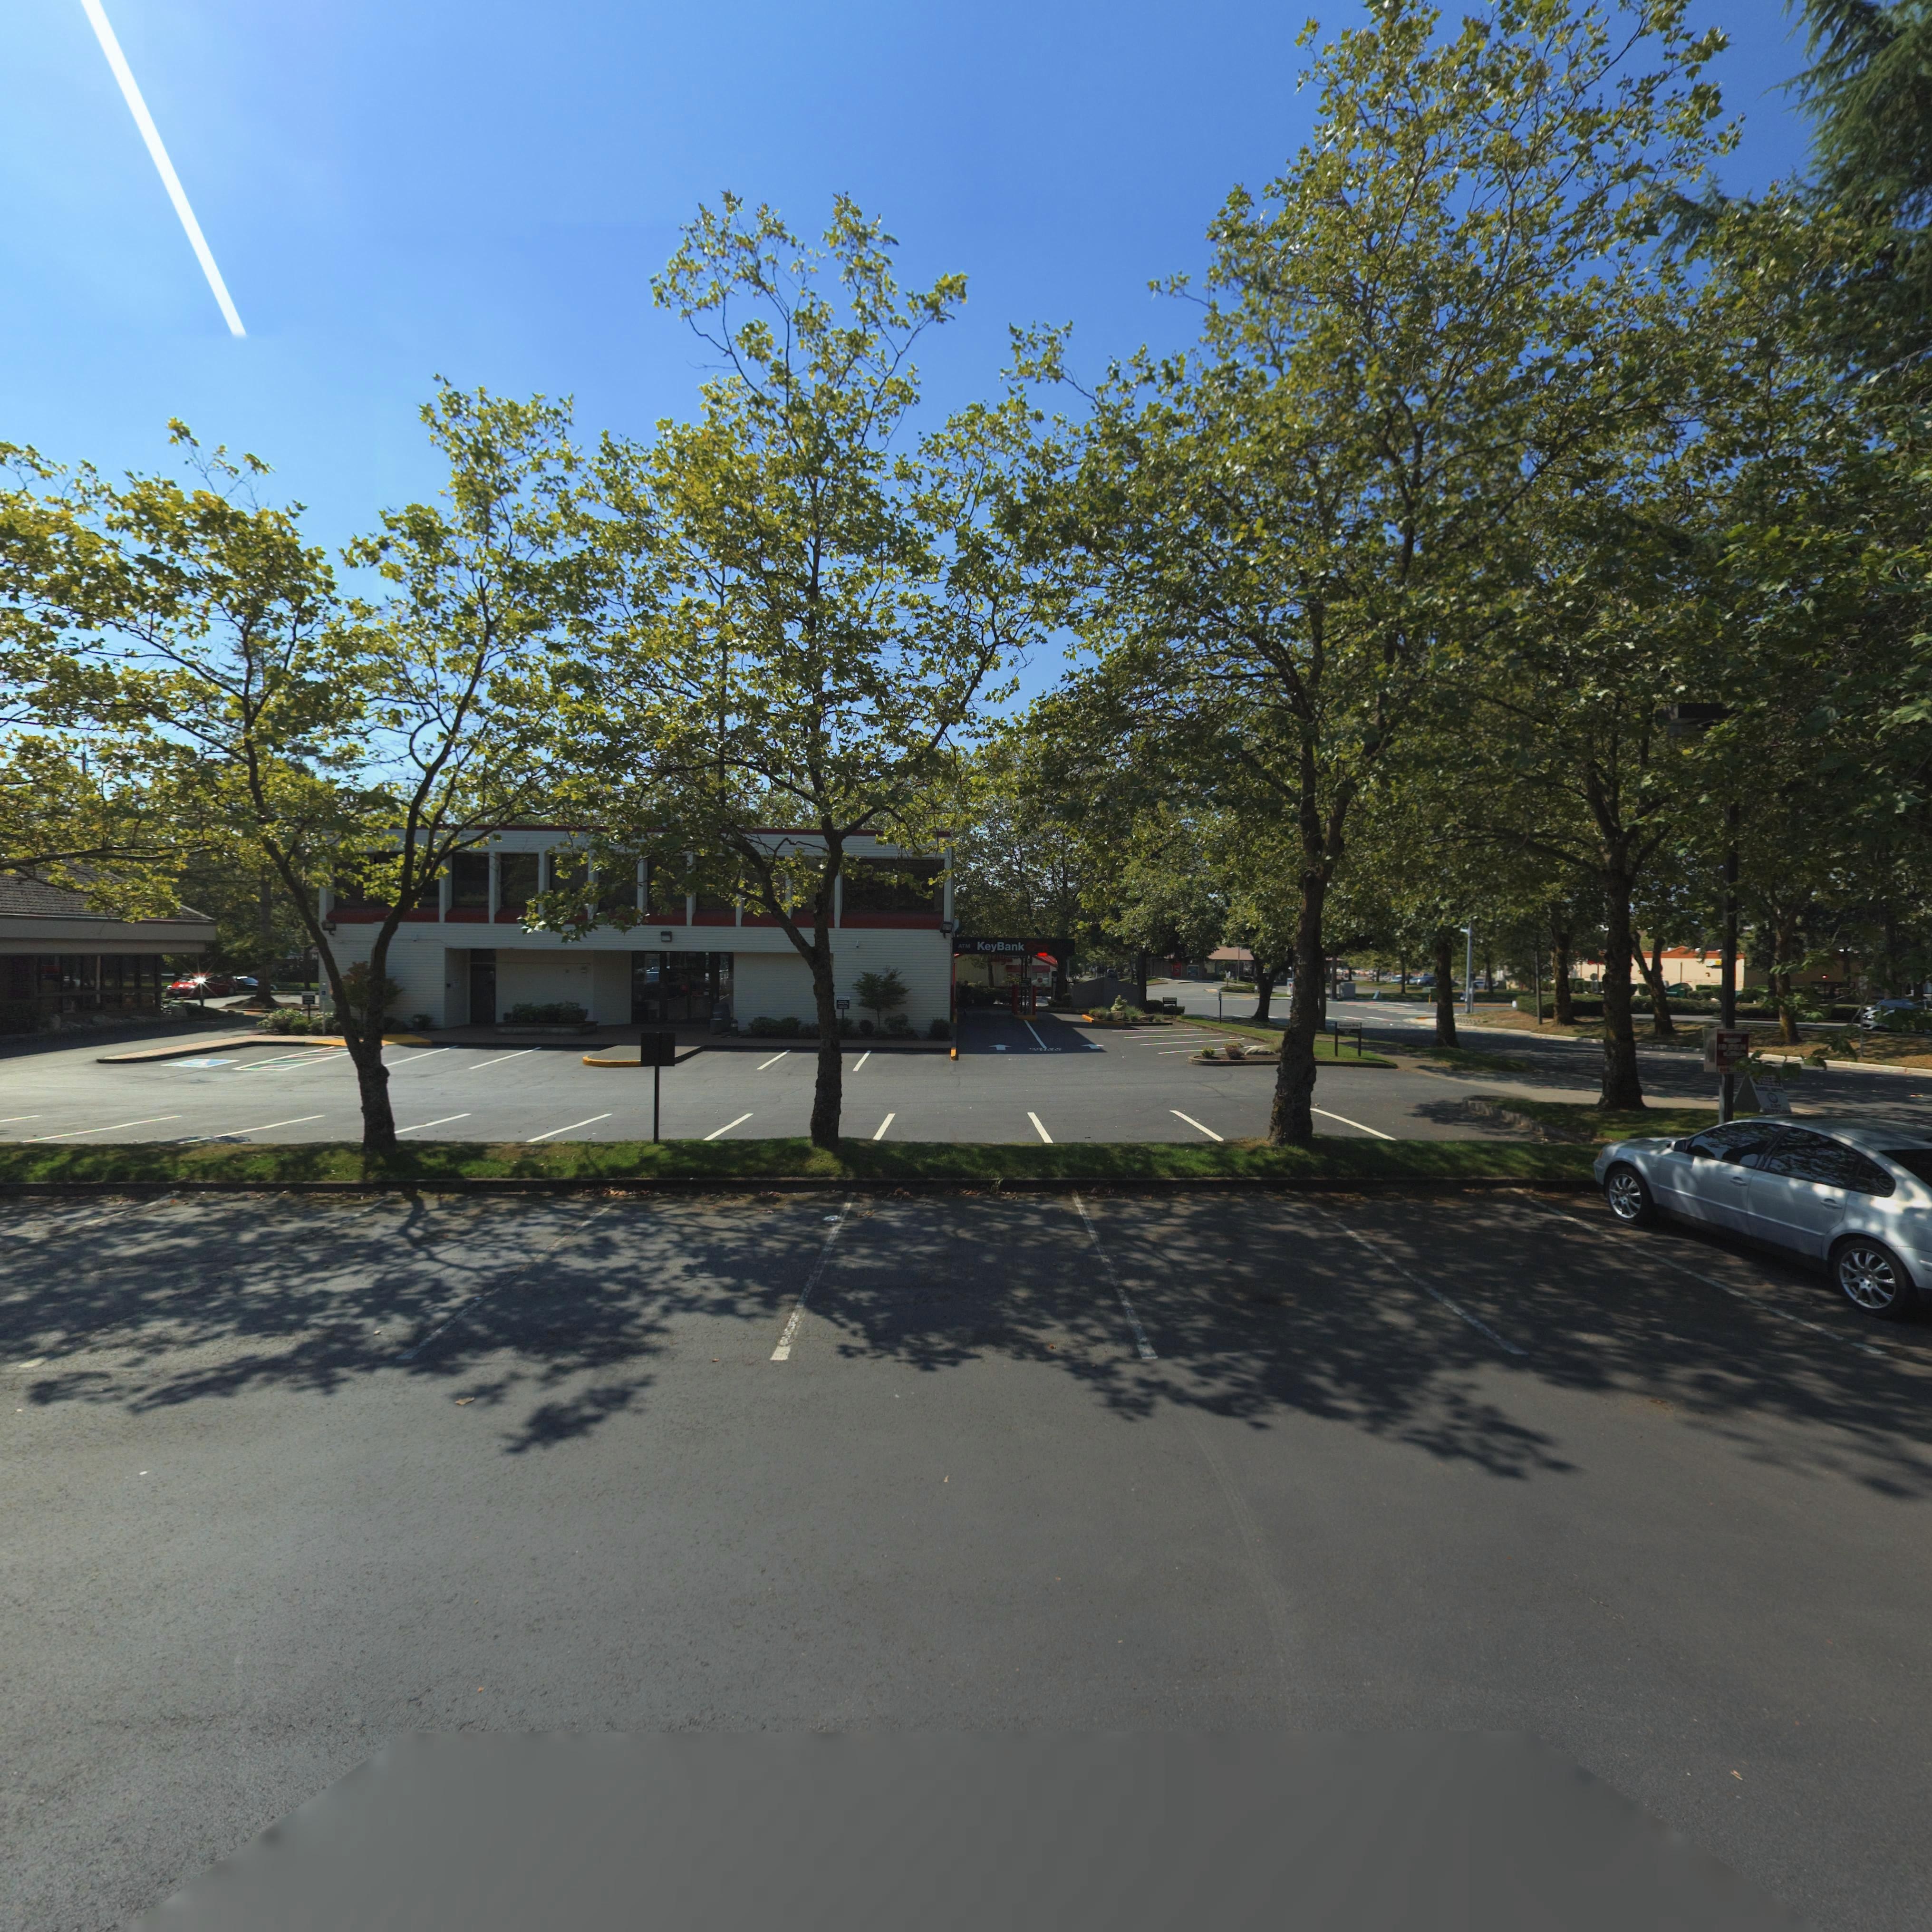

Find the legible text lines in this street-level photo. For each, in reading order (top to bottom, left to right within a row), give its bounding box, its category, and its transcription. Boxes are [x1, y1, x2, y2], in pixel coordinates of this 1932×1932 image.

[977, 942, 1024, 952] BusinessName: KayBank